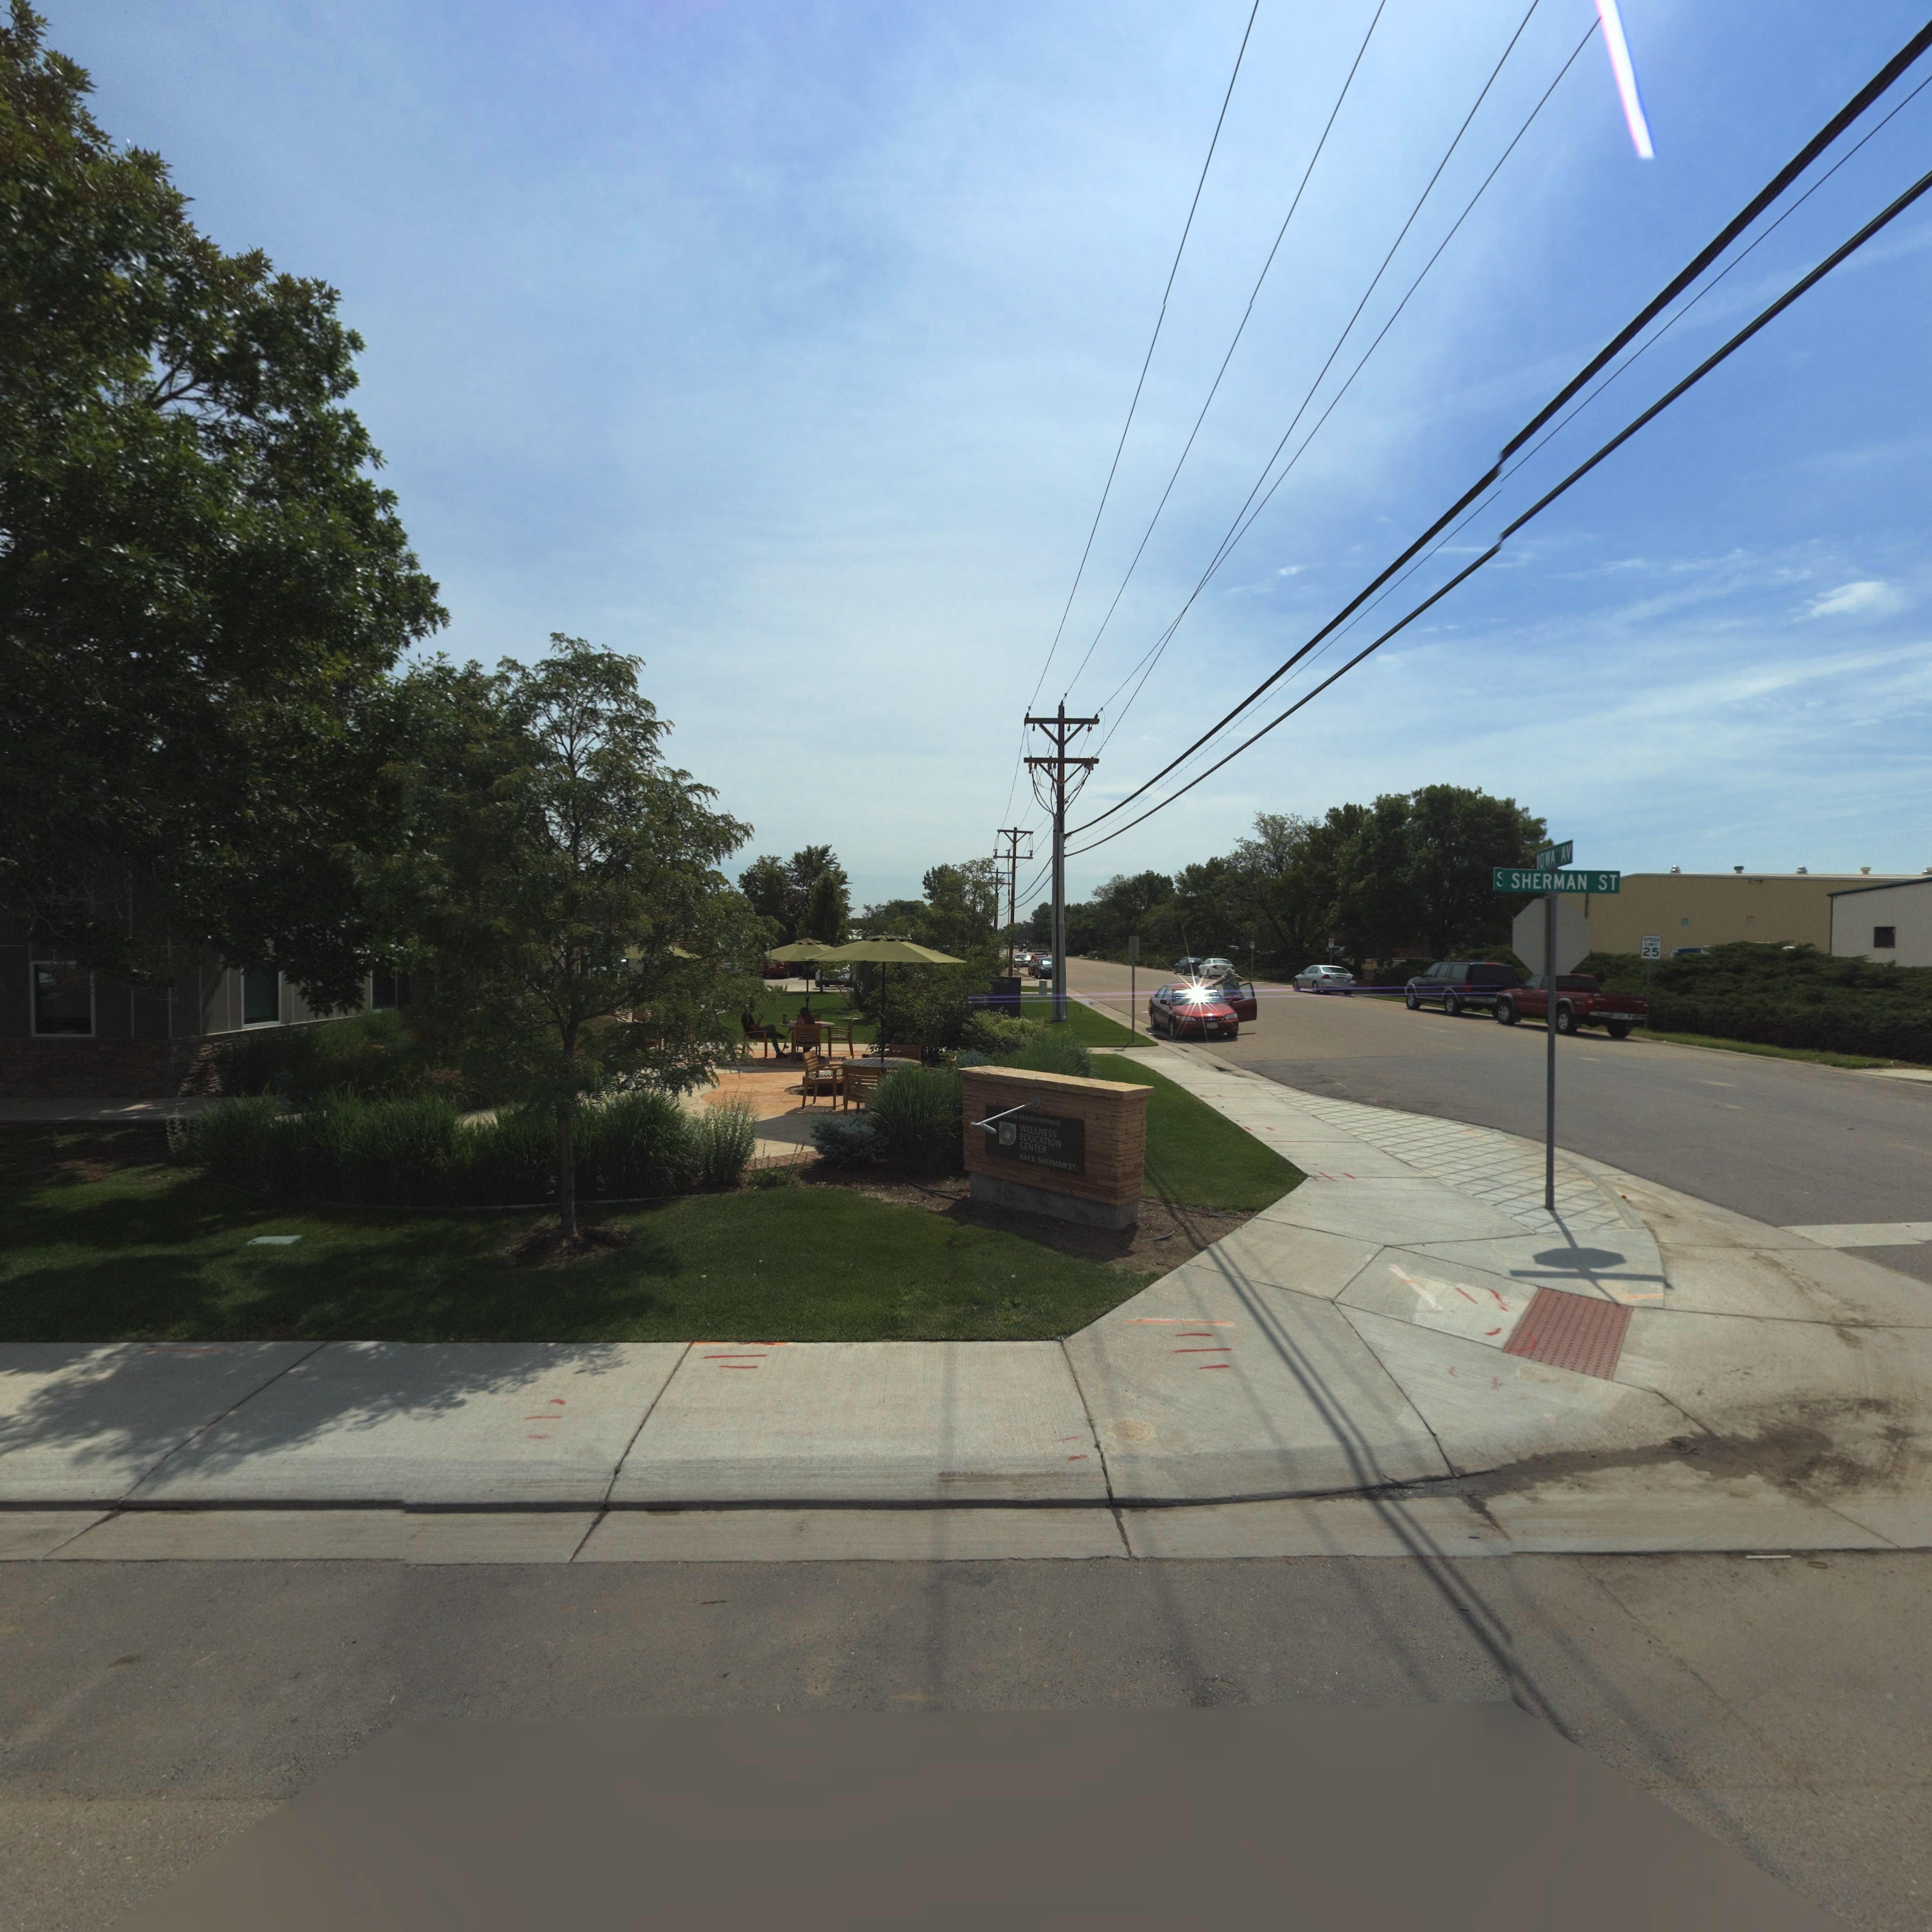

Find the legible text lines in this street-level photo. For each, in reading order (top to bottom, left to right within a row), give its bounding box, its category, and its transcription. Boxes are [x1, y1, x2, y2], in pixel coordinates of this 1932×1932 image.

[1536, 842, 1573, 870] StreetName: IOWA AV
[1495, 869, 1619, 890] StreetName: * SHERMAN ST
[1001, 1111, 1061, 1127] BusinessName: ***TAL HEALTH PARTNERS
[1019, 1123, 1058, 1139] BusinessName: WELLNESS
[1019, 1140, 1047, 1154] BusinessName: CENTER
[1019, 1132, 1062, 1148] BusinessName: EDUCATION
[1019, 1152, 1030, 1161] StreetNumber: 834
[1030, 1155, 1077, 1171] StreetName: S. SHERMAN ST.